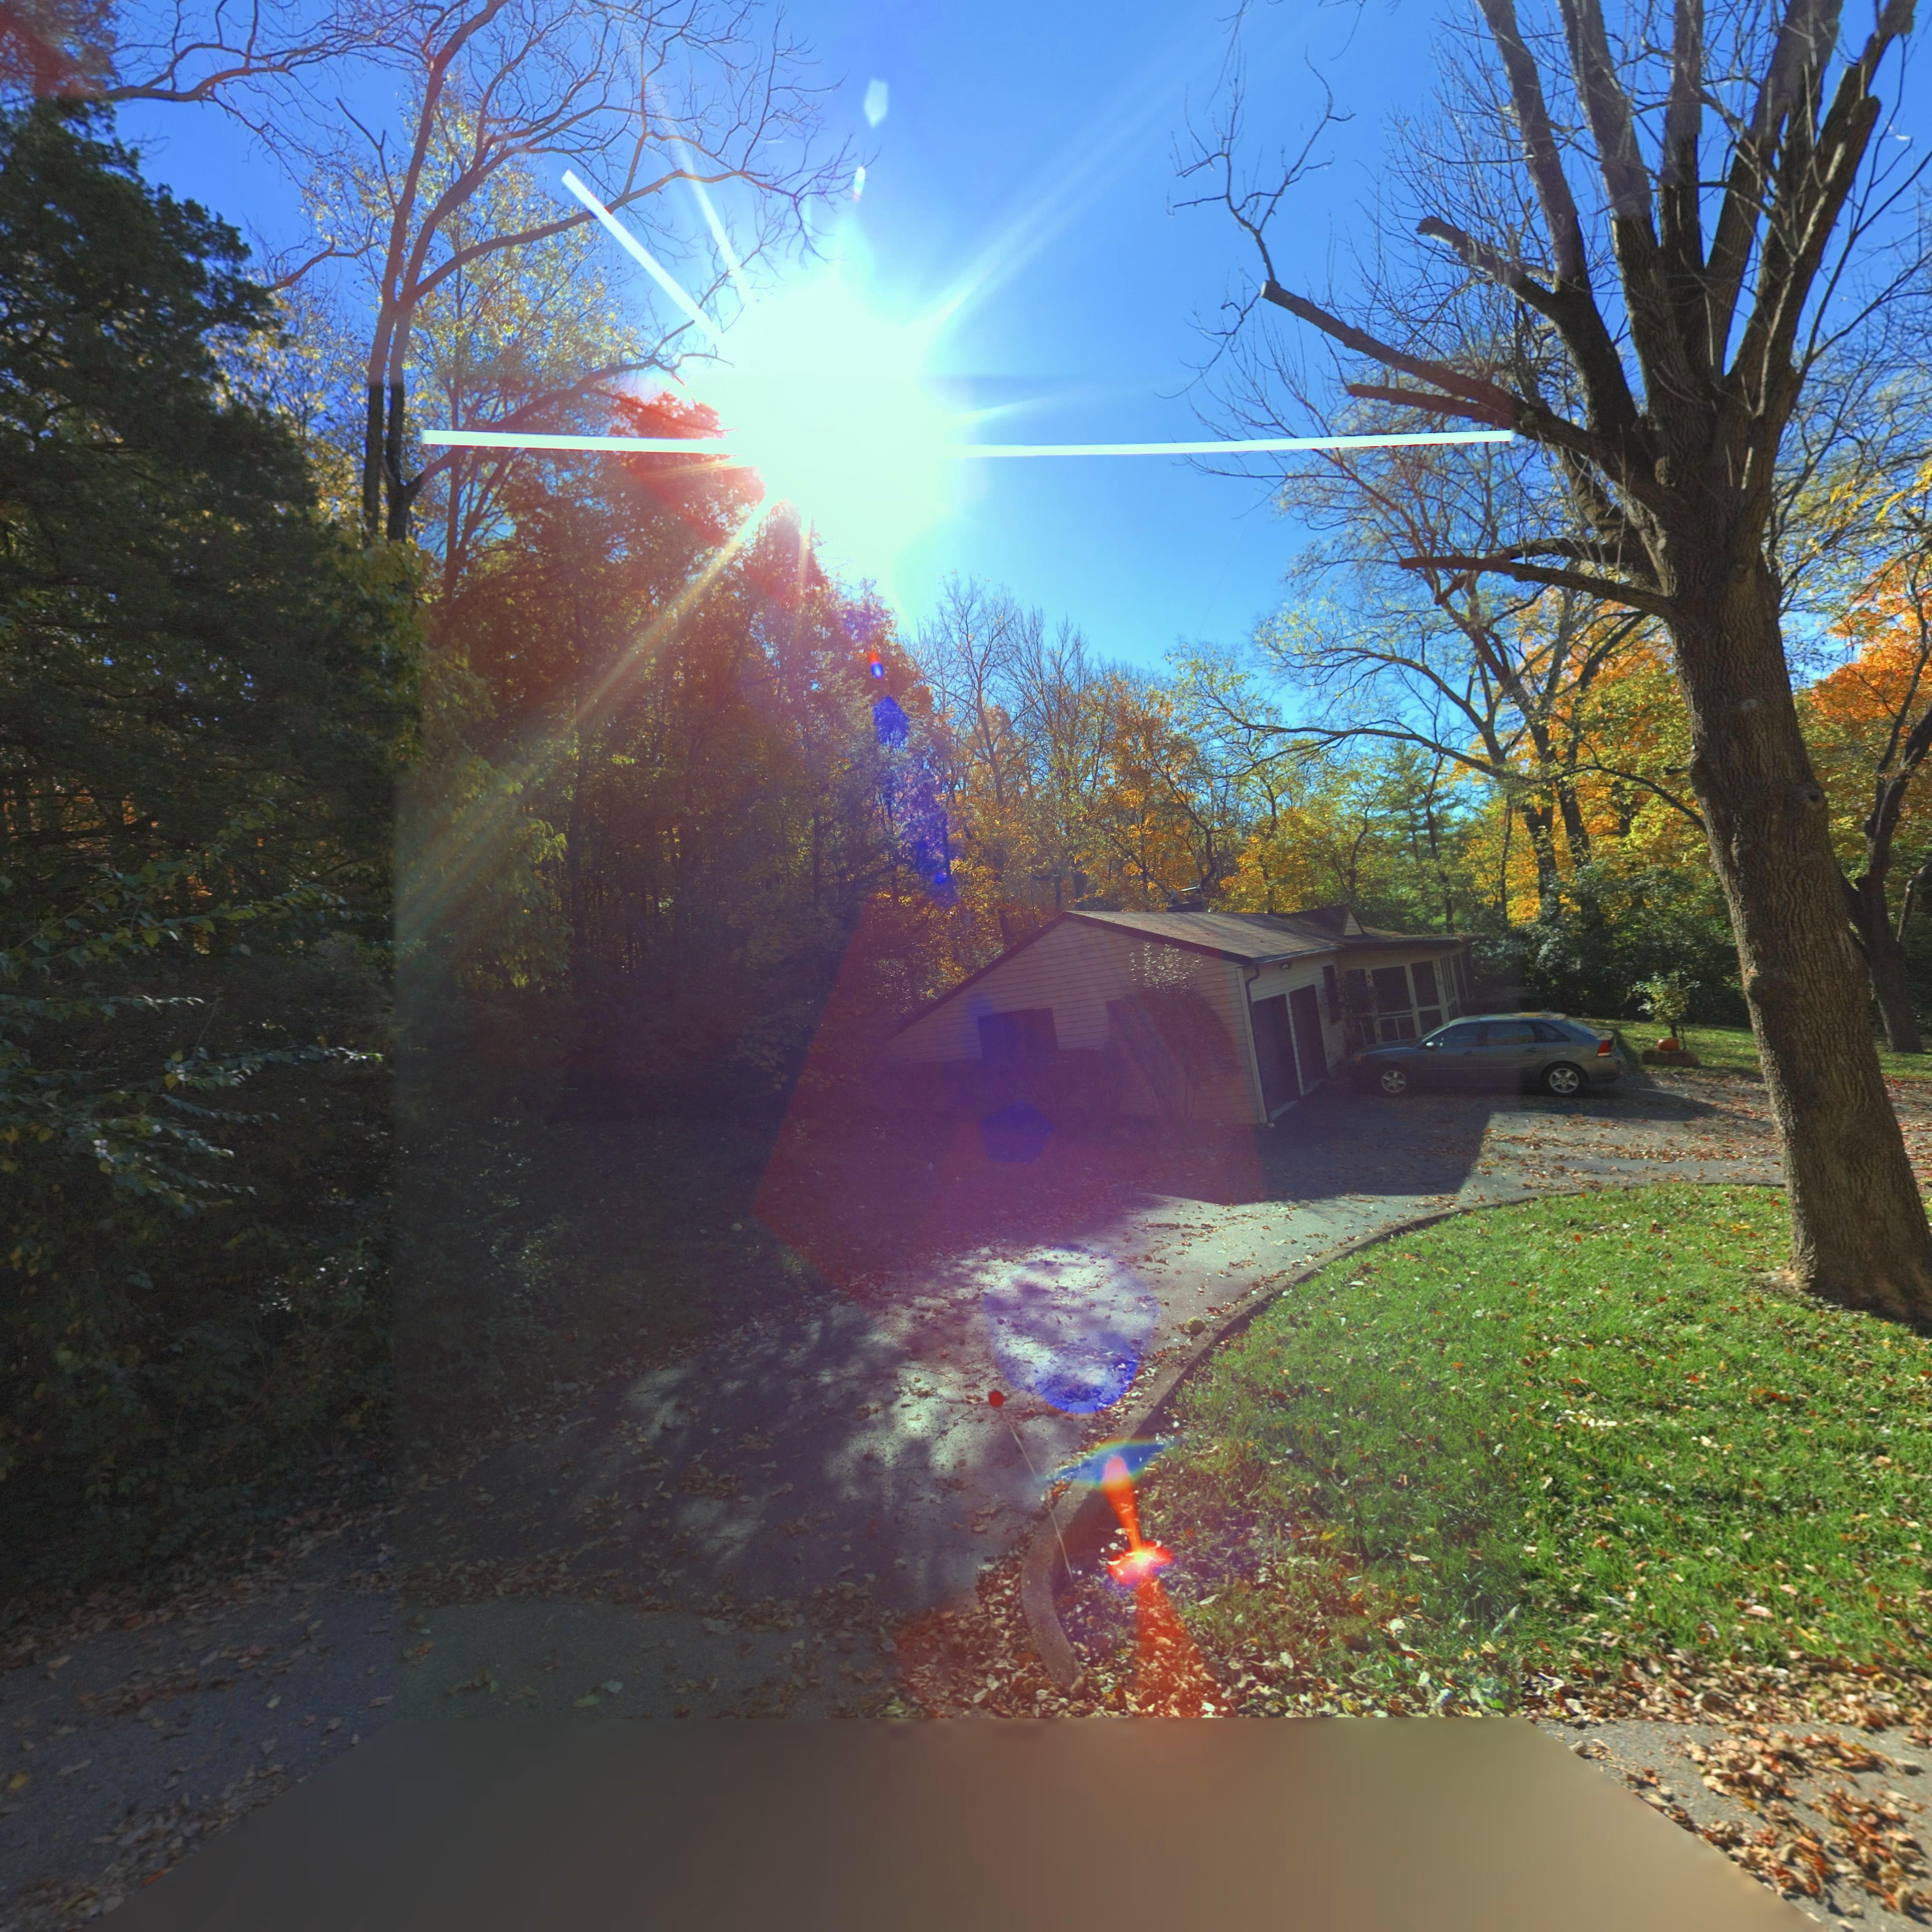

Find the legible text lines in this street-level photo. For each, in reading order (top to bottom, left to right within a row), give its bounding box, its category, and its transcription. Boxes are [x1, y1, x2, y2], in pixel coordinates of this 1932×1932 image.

[1433, 958, 1444, 987] StreetNumber: *976